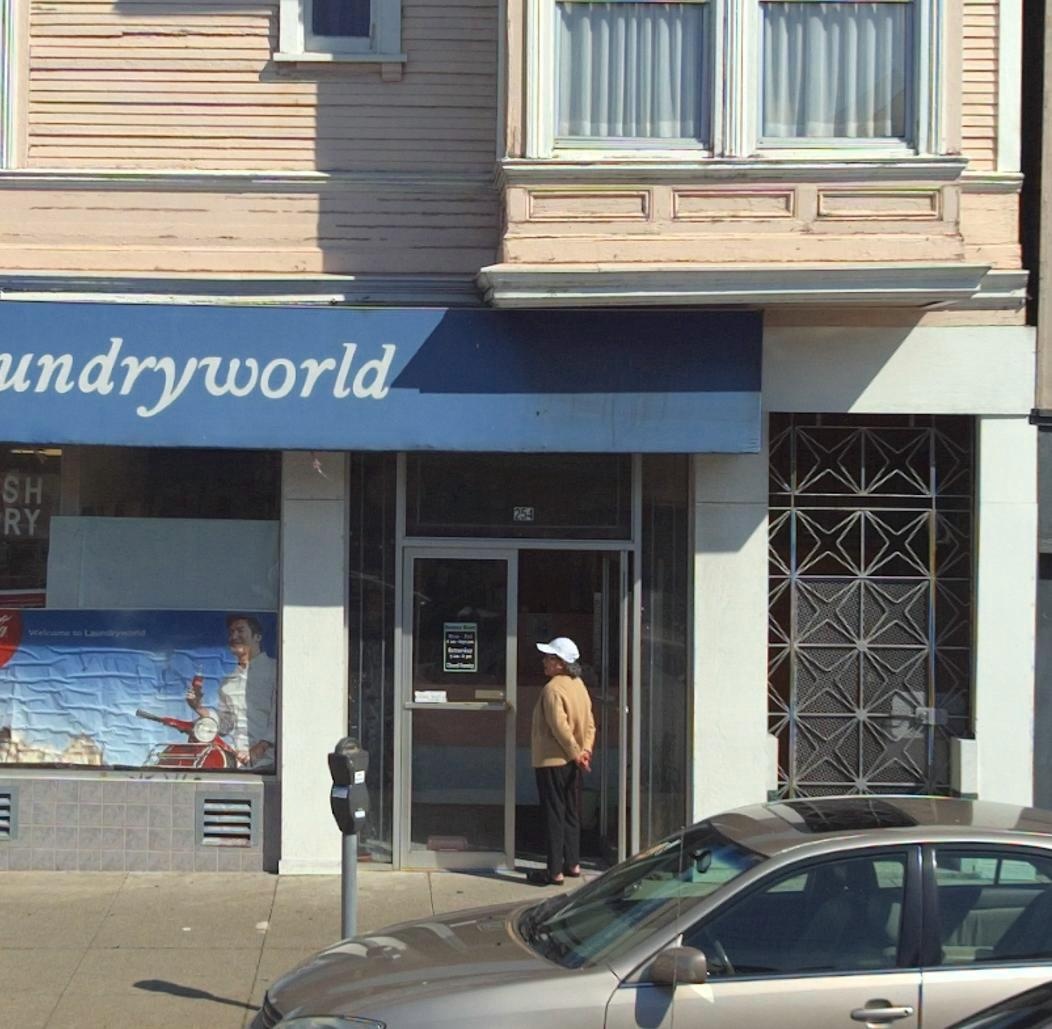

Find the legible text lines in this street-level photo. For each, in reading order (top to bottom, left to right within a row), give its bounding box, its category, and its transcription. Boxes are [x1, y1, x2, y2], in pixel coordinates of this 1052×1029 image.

[34, 334, 397, 419] BusinessName: ndryworld
[1, 473, 44, 505] None: SH
[2, 507, 42, 537] None: RY
[513, 506, 535, 522] StreetNumber: 254